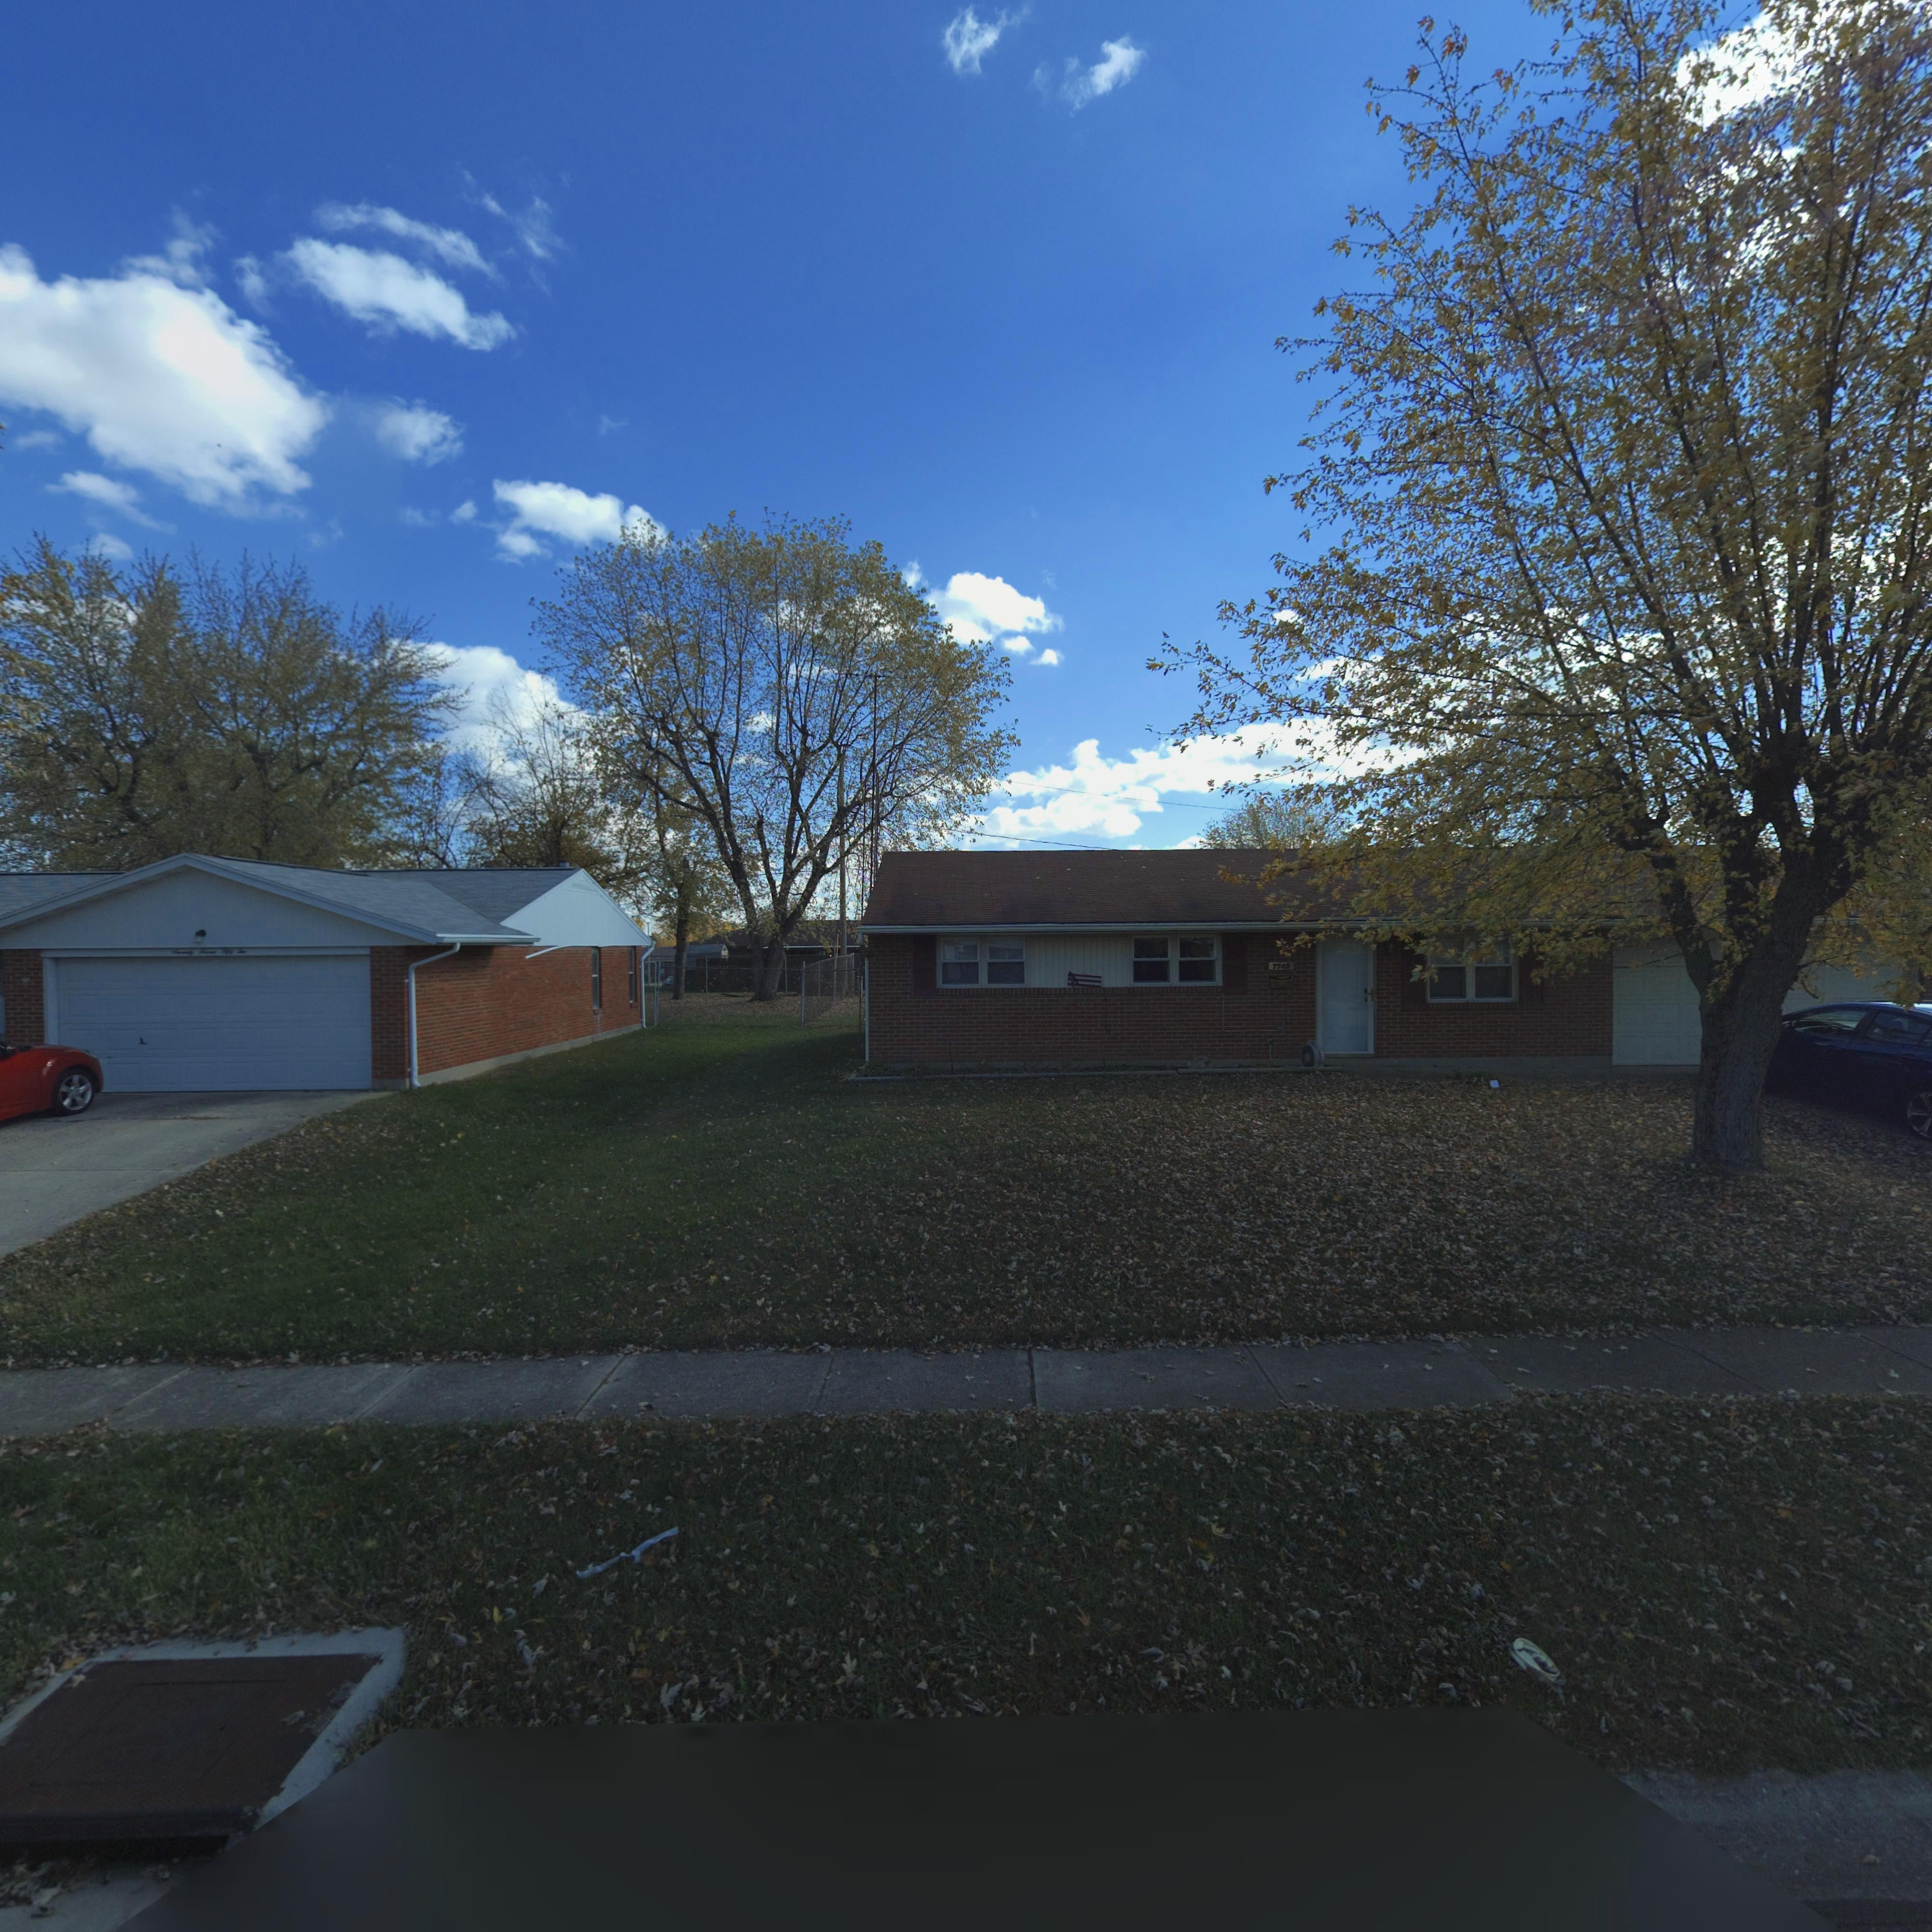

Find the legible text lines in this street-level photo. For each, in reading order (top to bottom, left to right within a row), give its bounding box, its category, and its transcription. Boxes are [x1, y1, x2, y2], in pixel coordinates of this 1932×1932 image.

[1271, 962, 1291, 971] StreetNumber: 773*